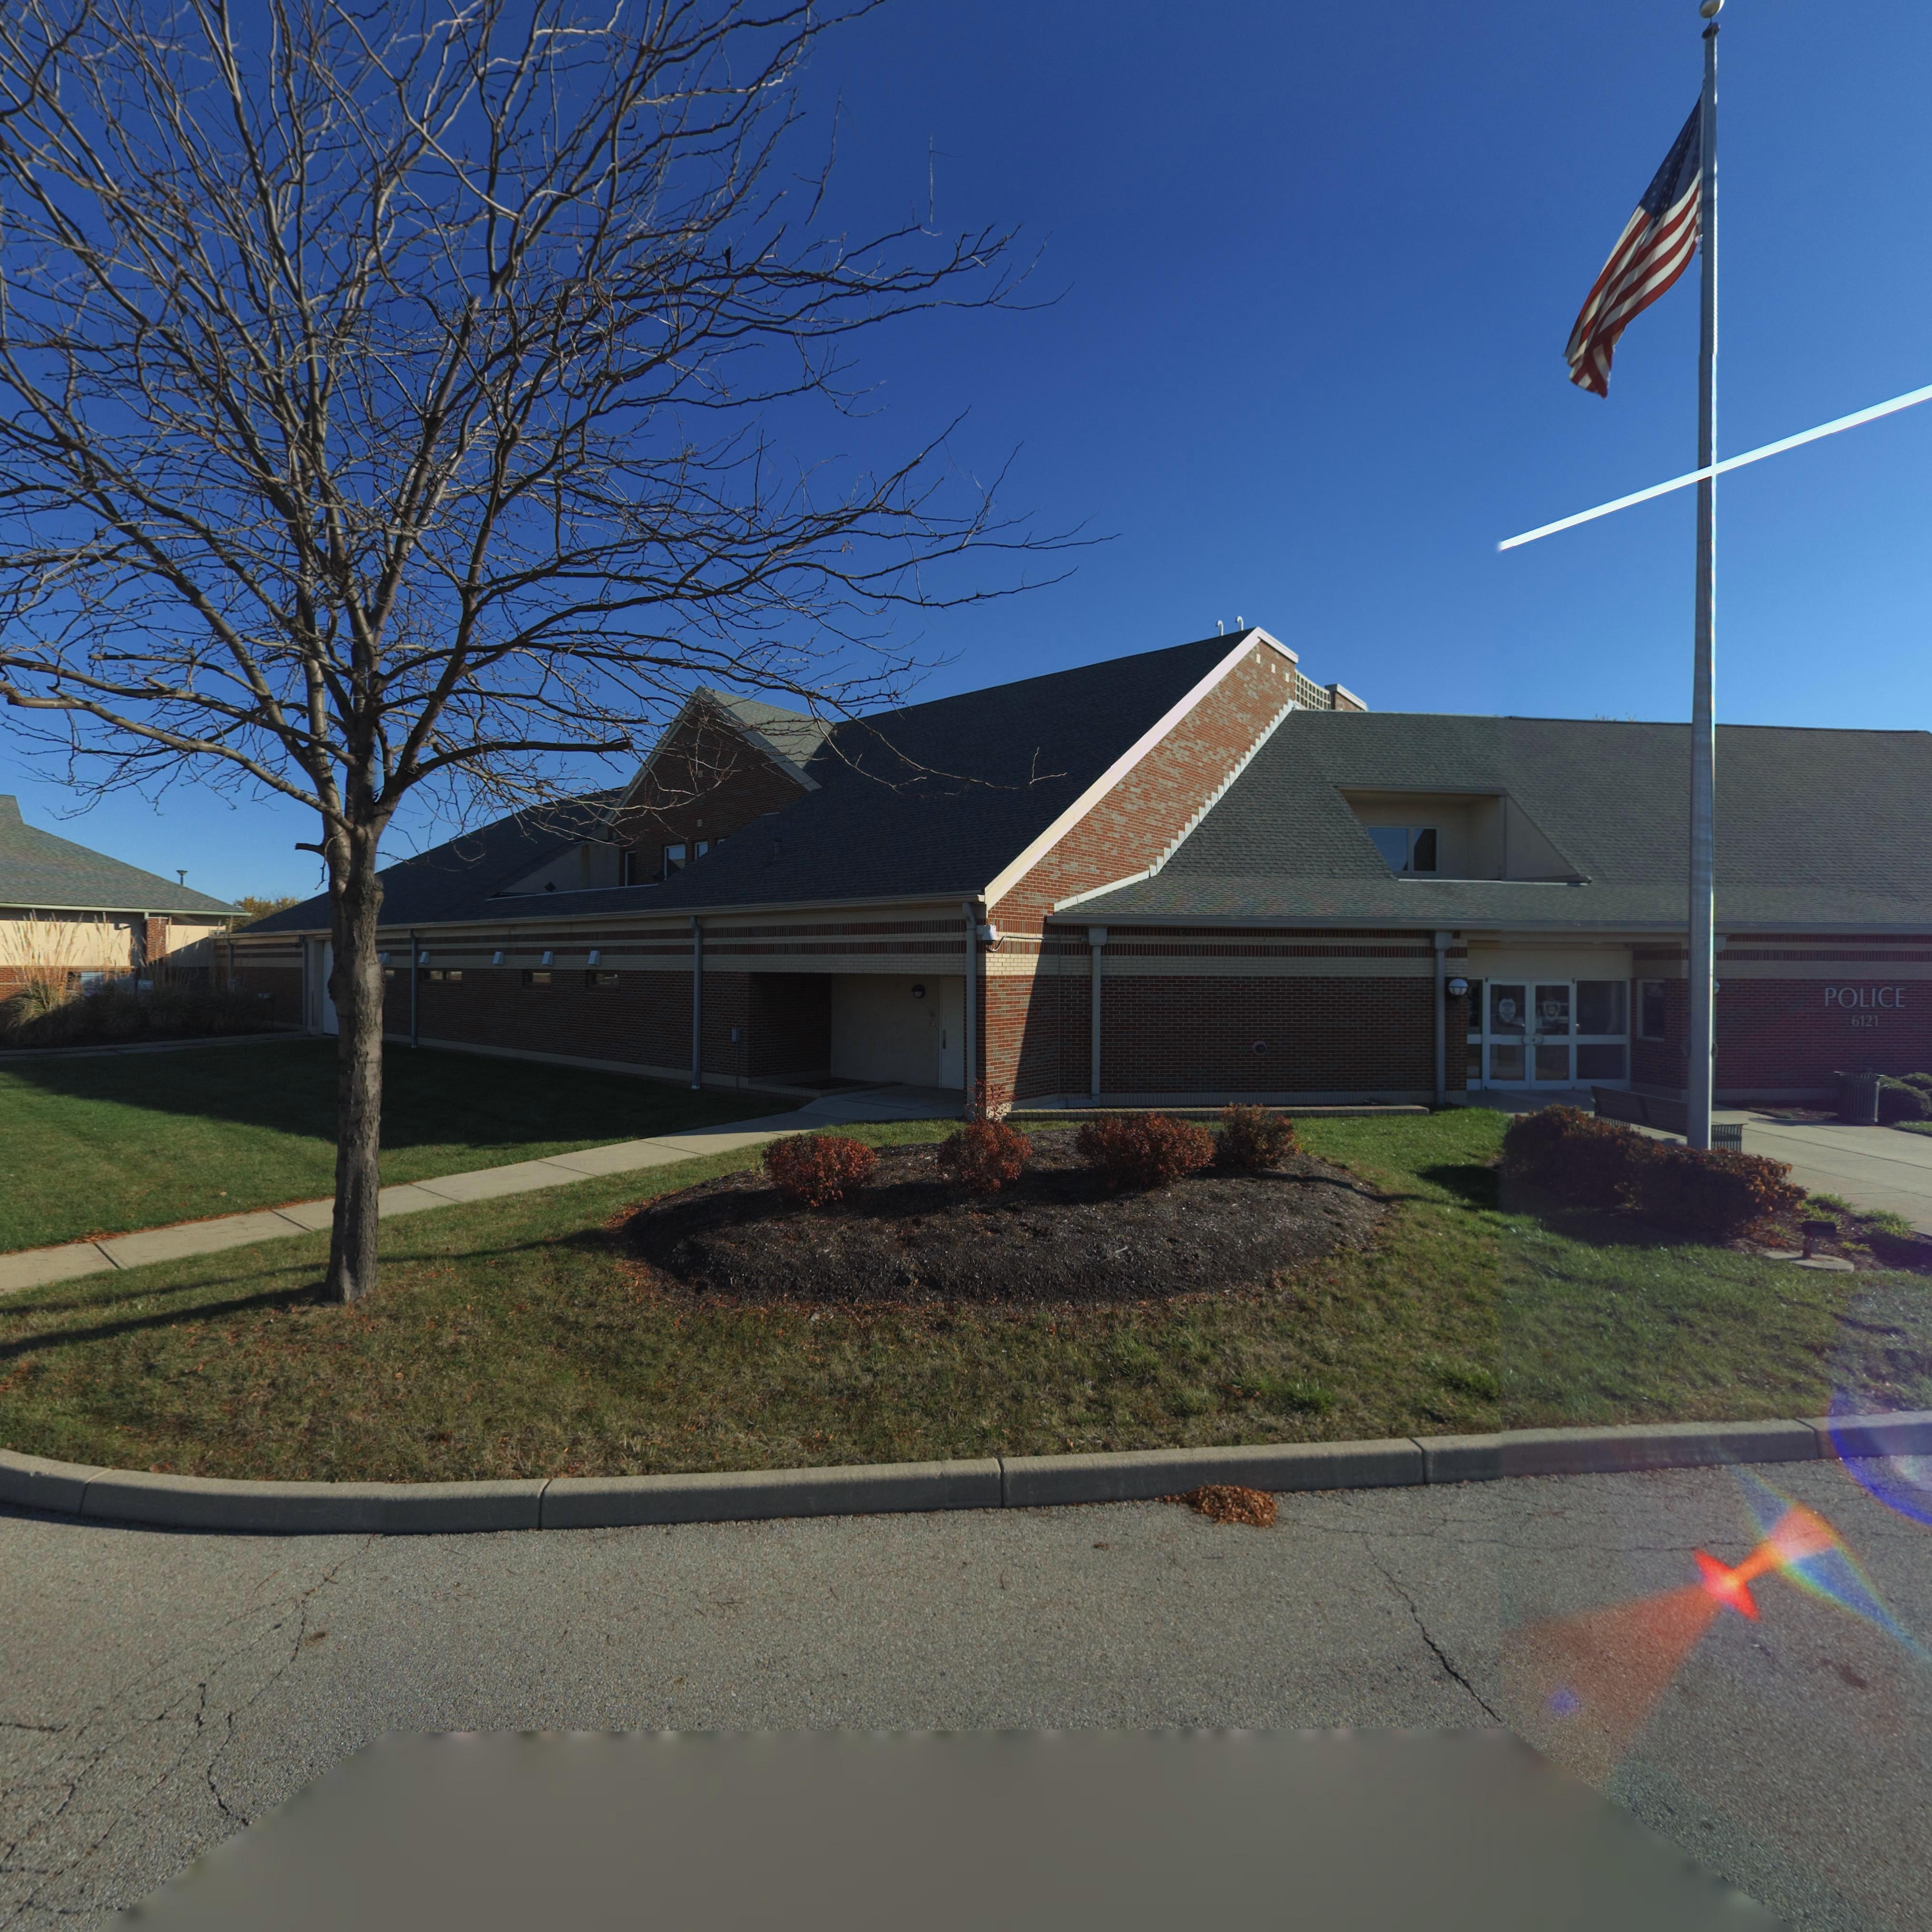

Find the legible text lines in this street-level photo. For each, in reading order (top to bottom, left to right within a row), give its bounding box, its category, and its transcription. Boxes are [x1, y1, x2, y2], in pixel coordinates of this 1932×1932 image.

[1851, 1014, 1879, 1027] StreetNumber: 6121